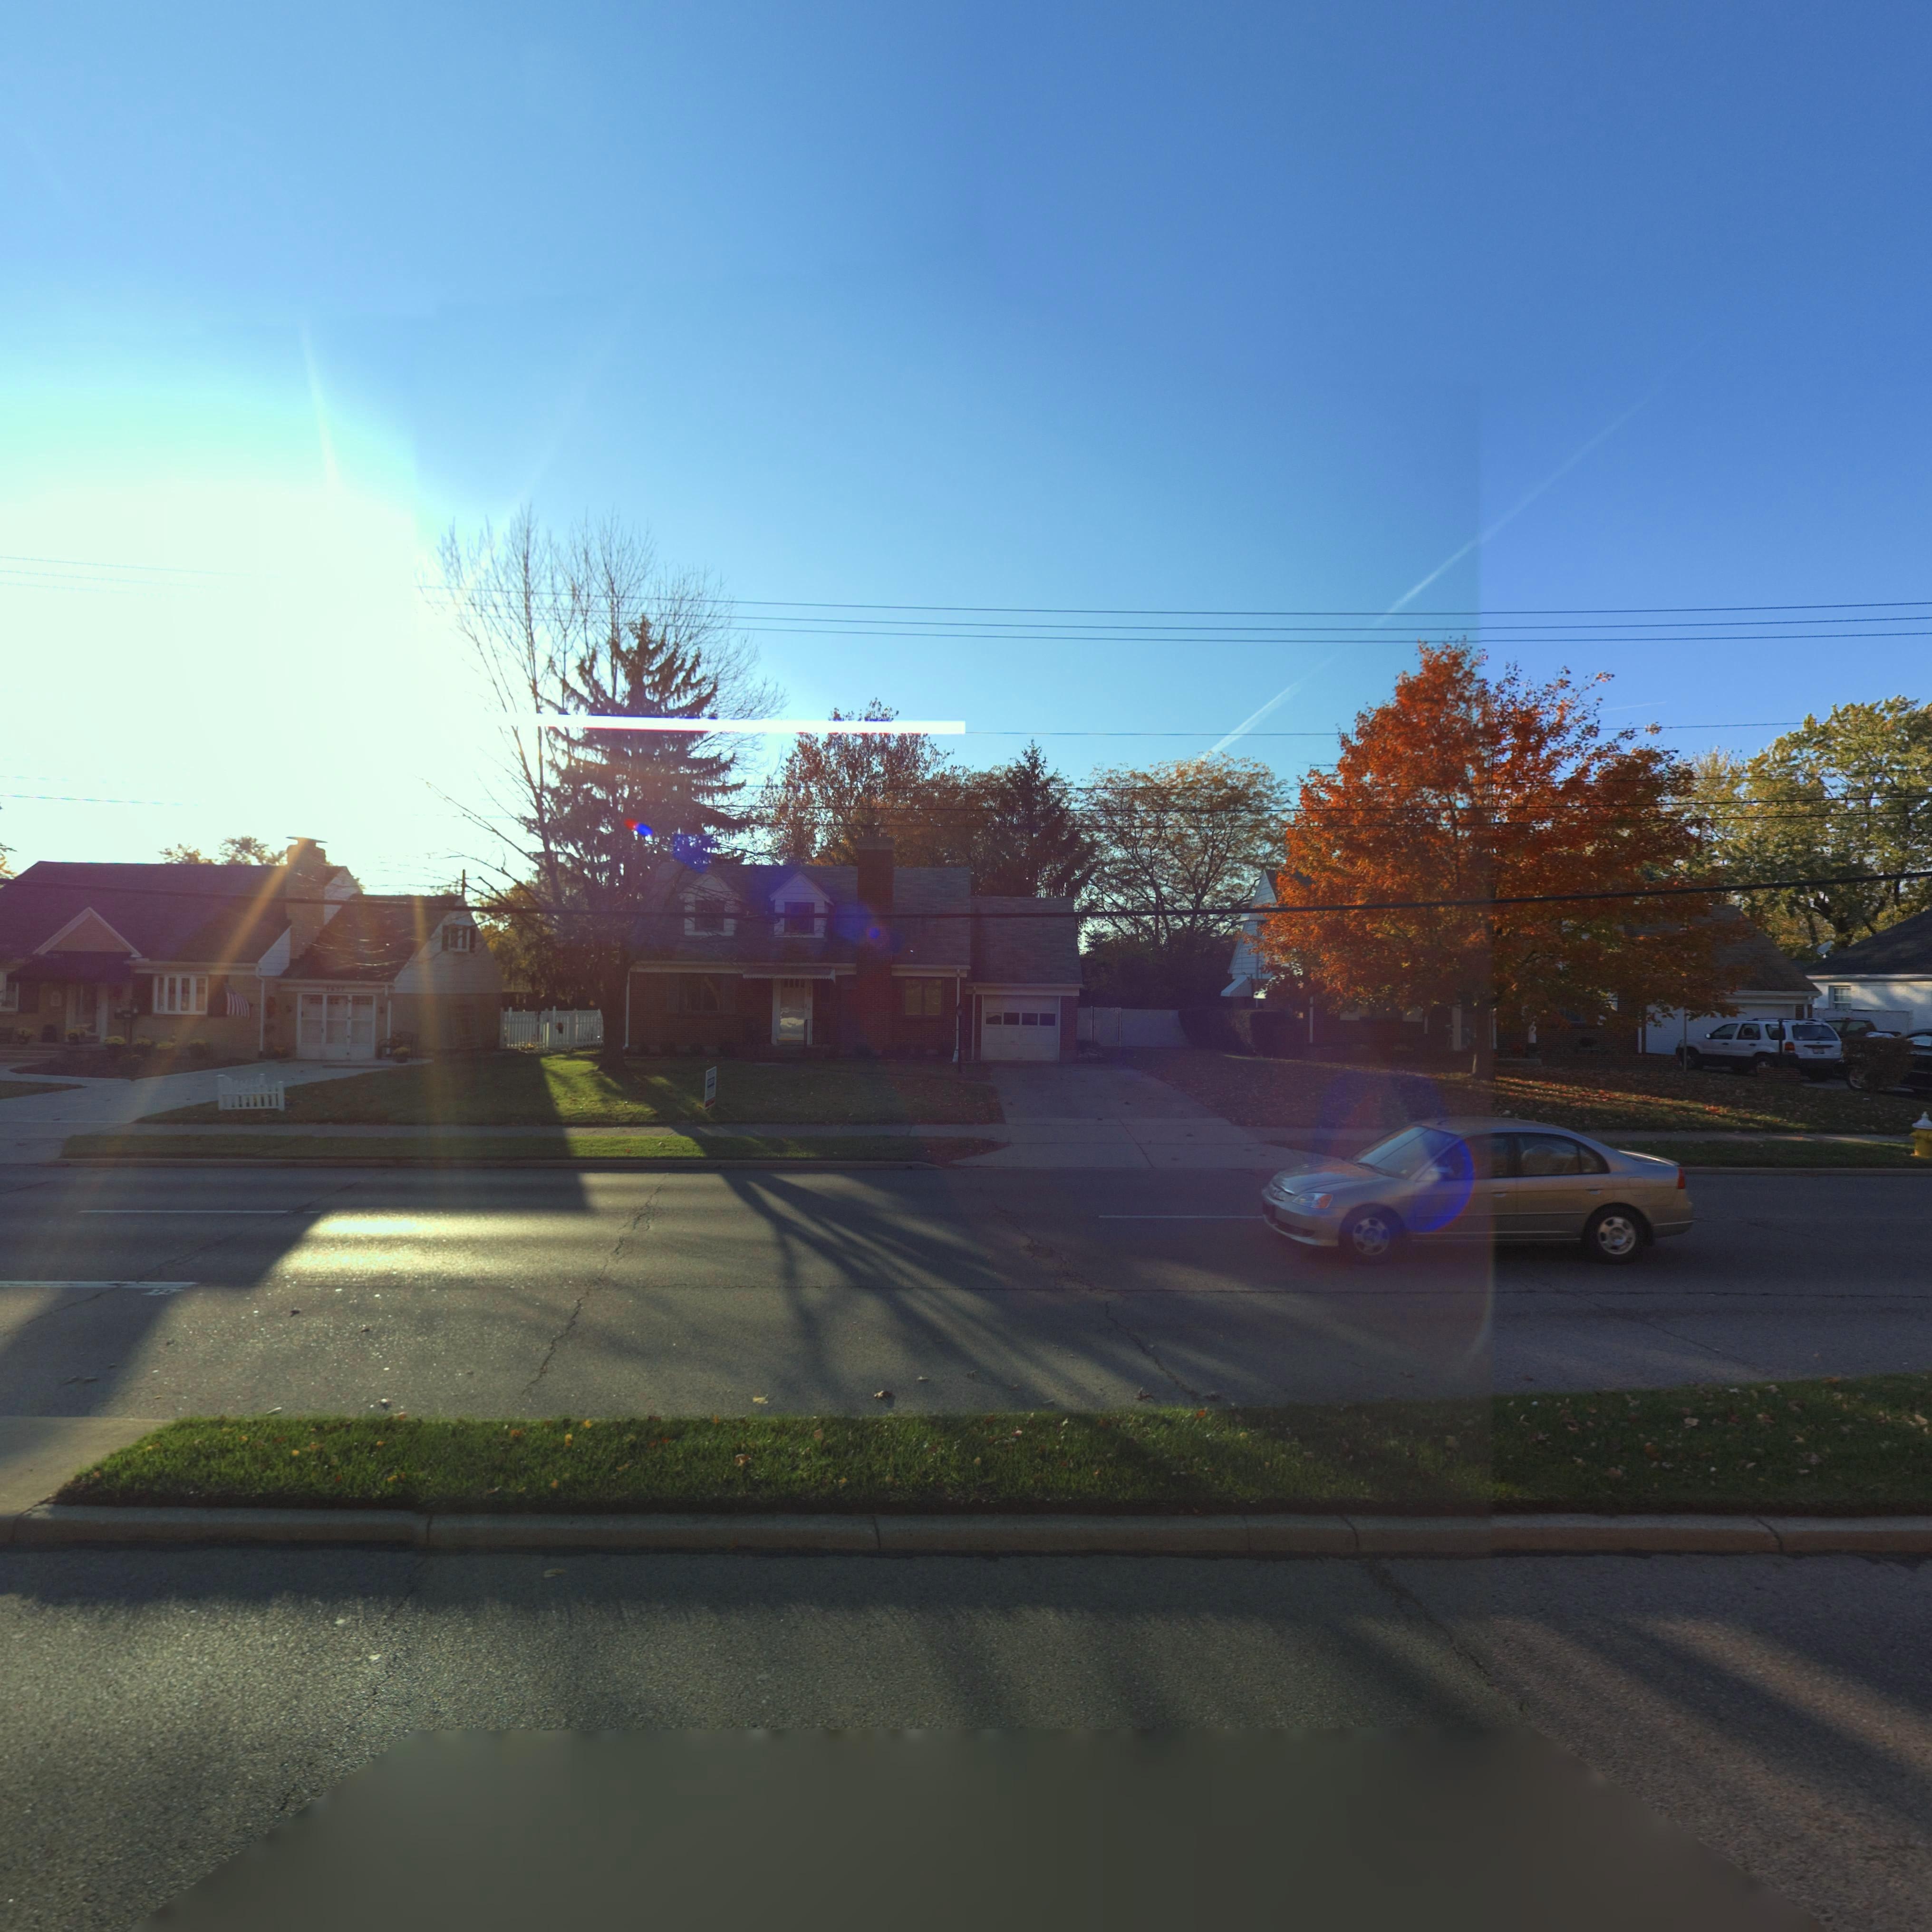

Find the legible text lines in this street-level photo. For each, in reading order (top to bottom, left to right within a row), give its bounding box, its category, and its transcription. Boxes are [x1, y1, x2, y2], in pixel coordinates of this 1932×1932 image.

[325, 985, 344, 991] StreetNumber: 3657